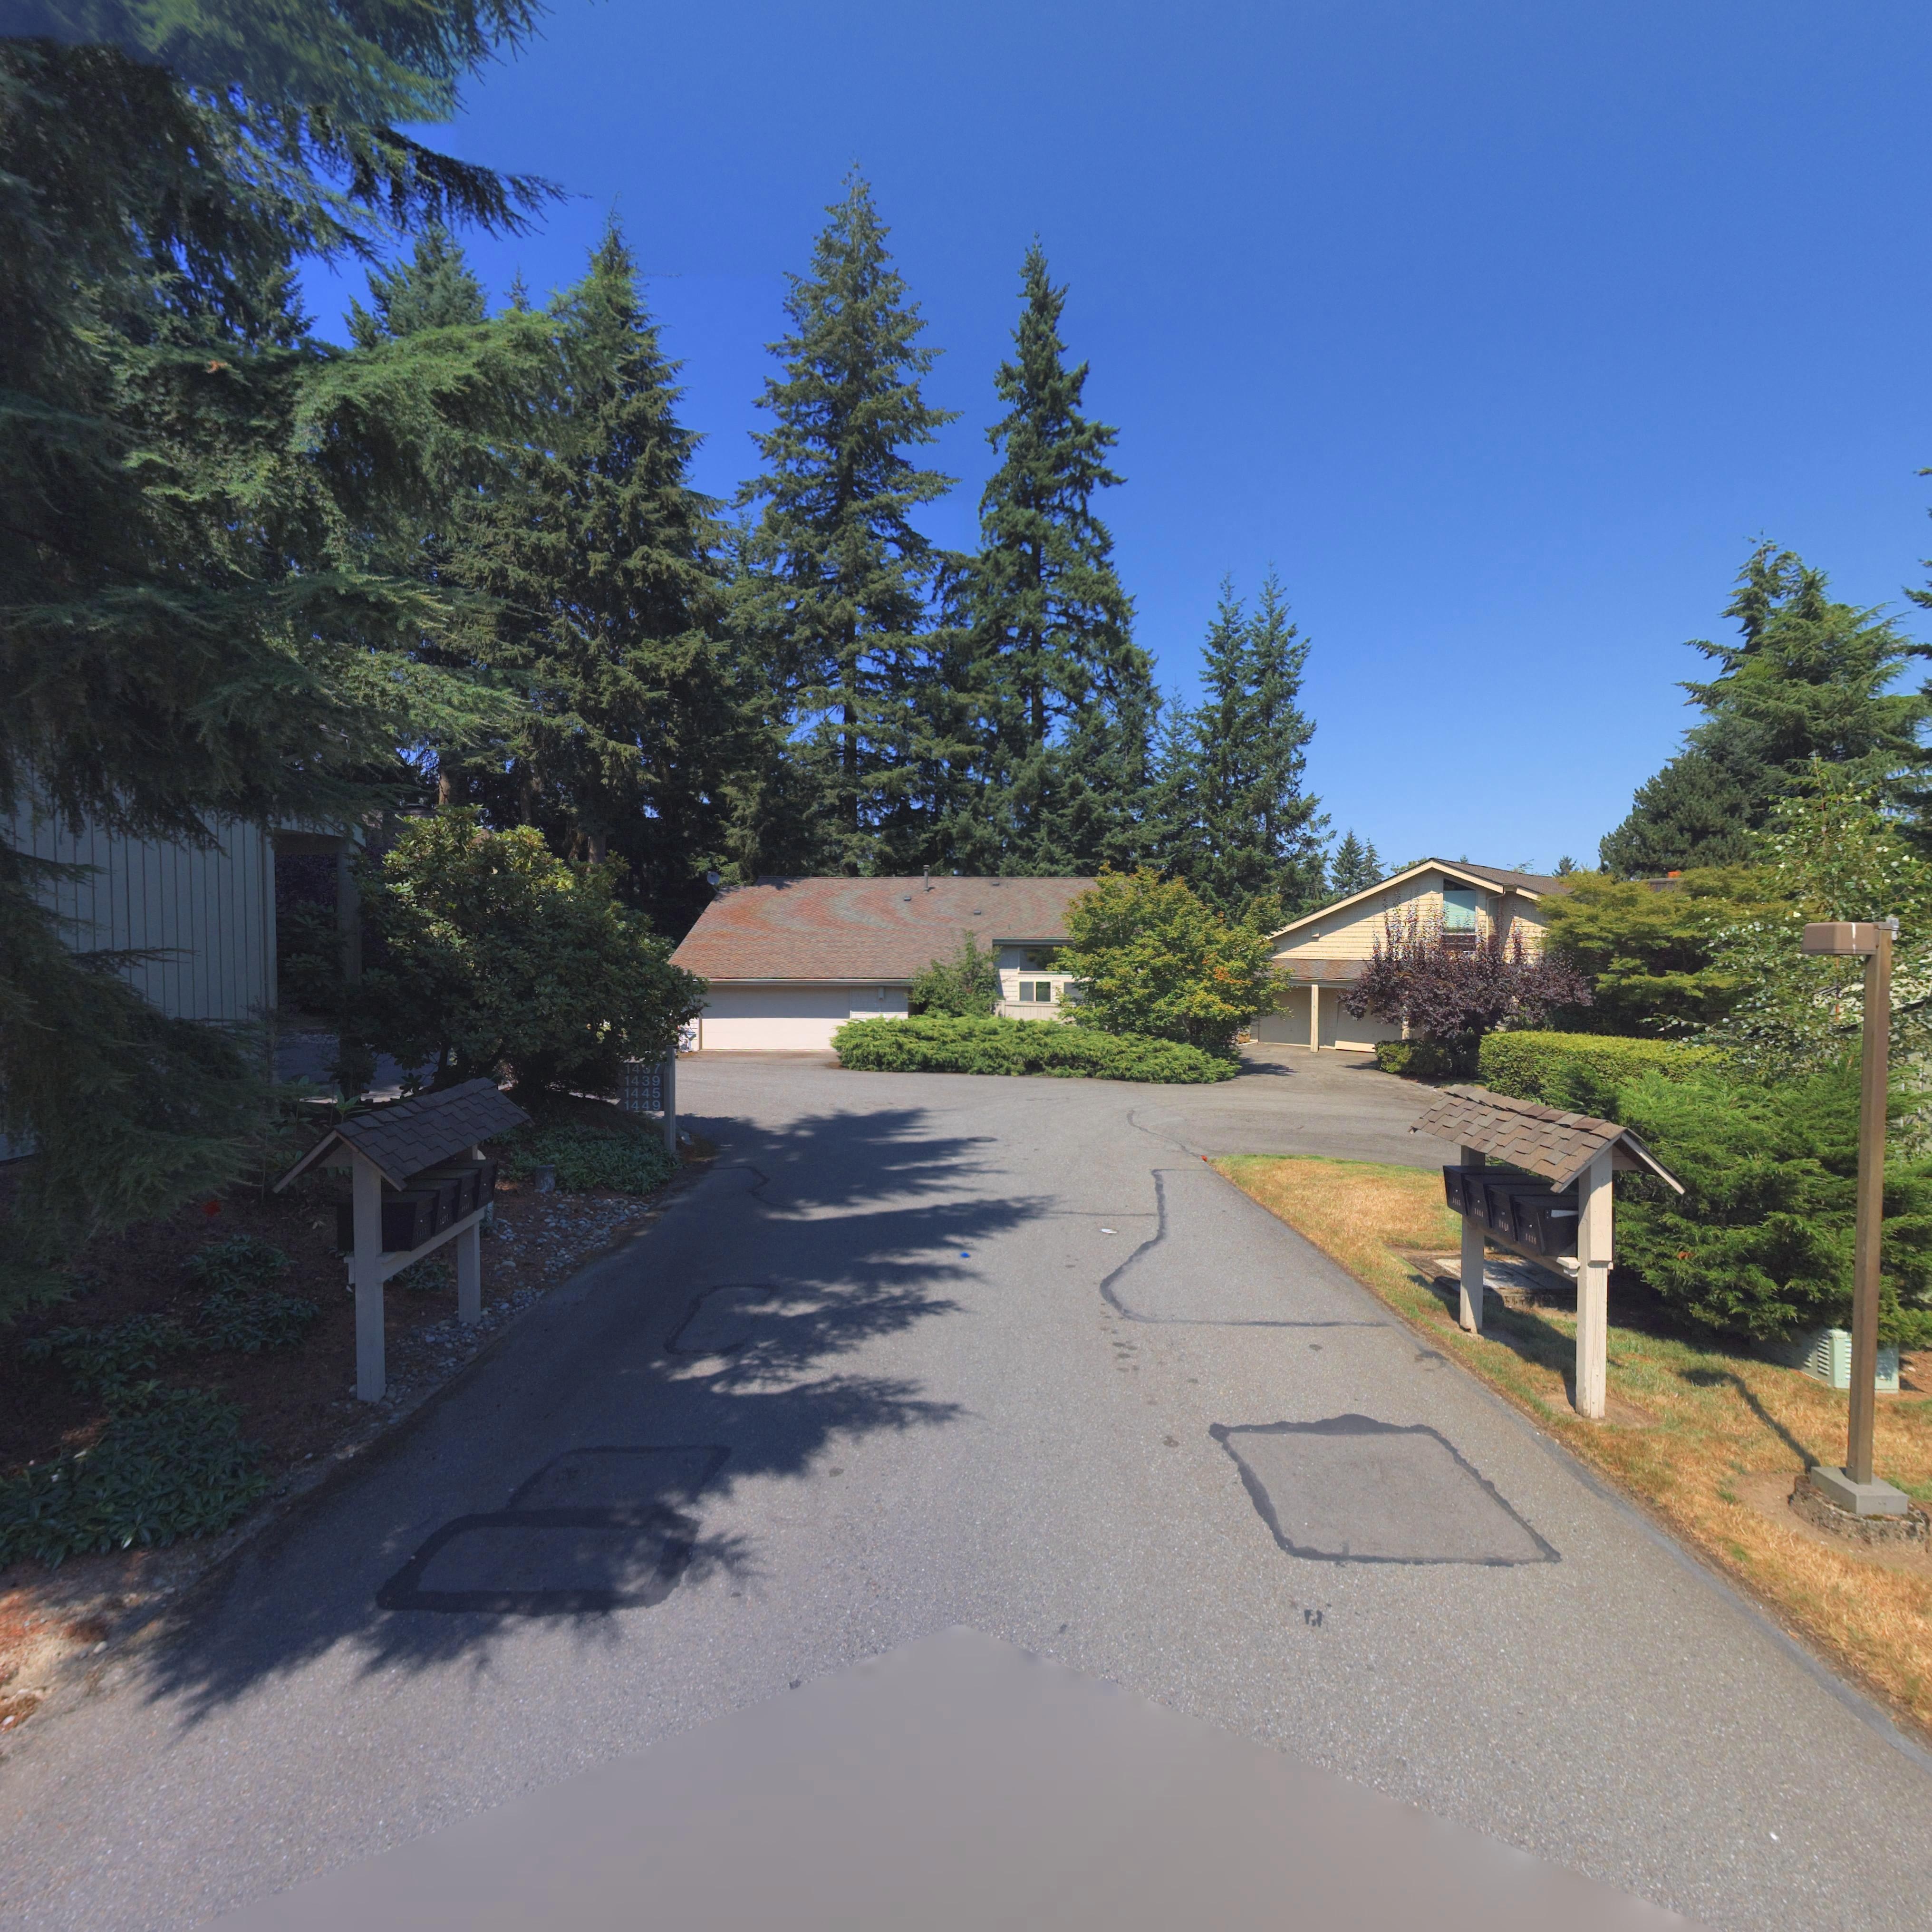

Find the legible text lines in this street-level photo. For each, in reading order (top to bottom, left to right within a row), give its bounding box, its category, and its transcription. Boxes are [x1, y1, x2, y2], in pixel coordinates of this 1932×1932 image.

[625, 1064, 660, 1074] StreetNumber: 1487
[624, 1075, 661, 1086] StreetNumber: 1439
[625, 1088, 660, 1098] StreetNumber: 1445
[625, 1100, 660, 1111] StreetNumber: 1449